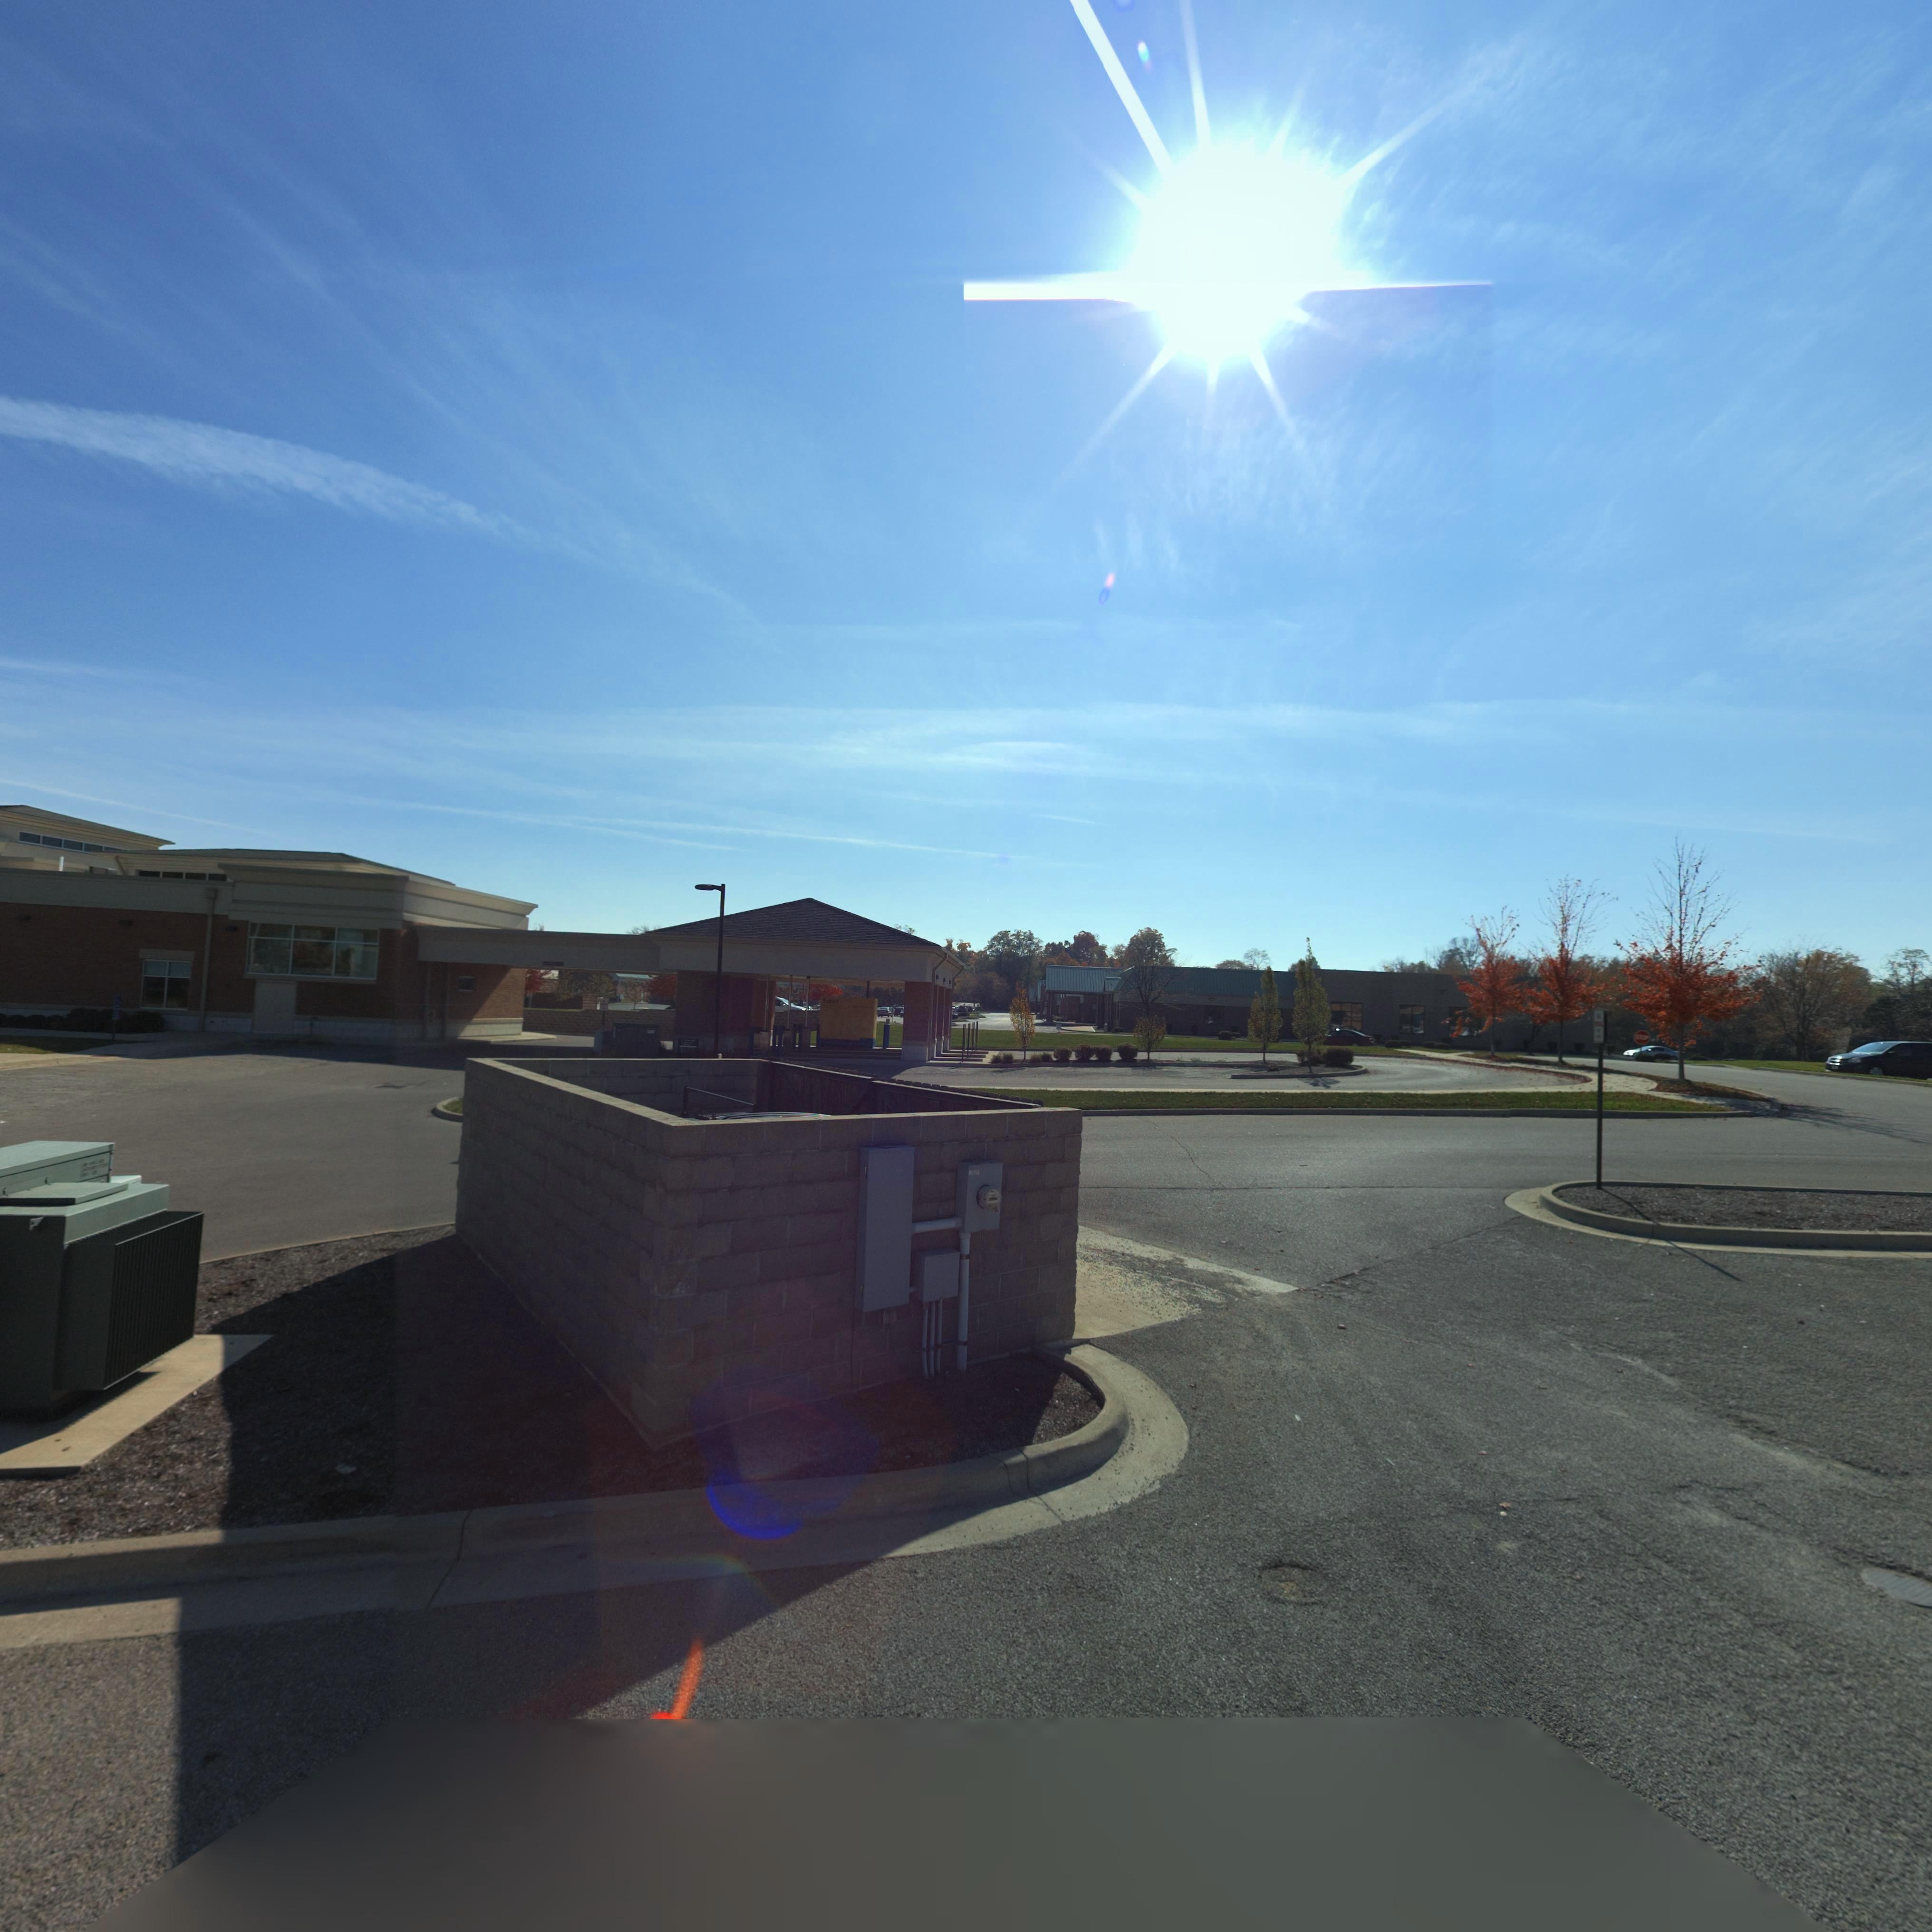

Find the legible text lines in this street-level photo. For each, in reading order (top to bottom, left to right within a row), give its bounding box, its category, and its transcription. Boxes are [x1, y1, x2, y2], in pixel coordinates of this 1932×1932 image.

[822, 997, 840, 1005] BusinessName: **RST